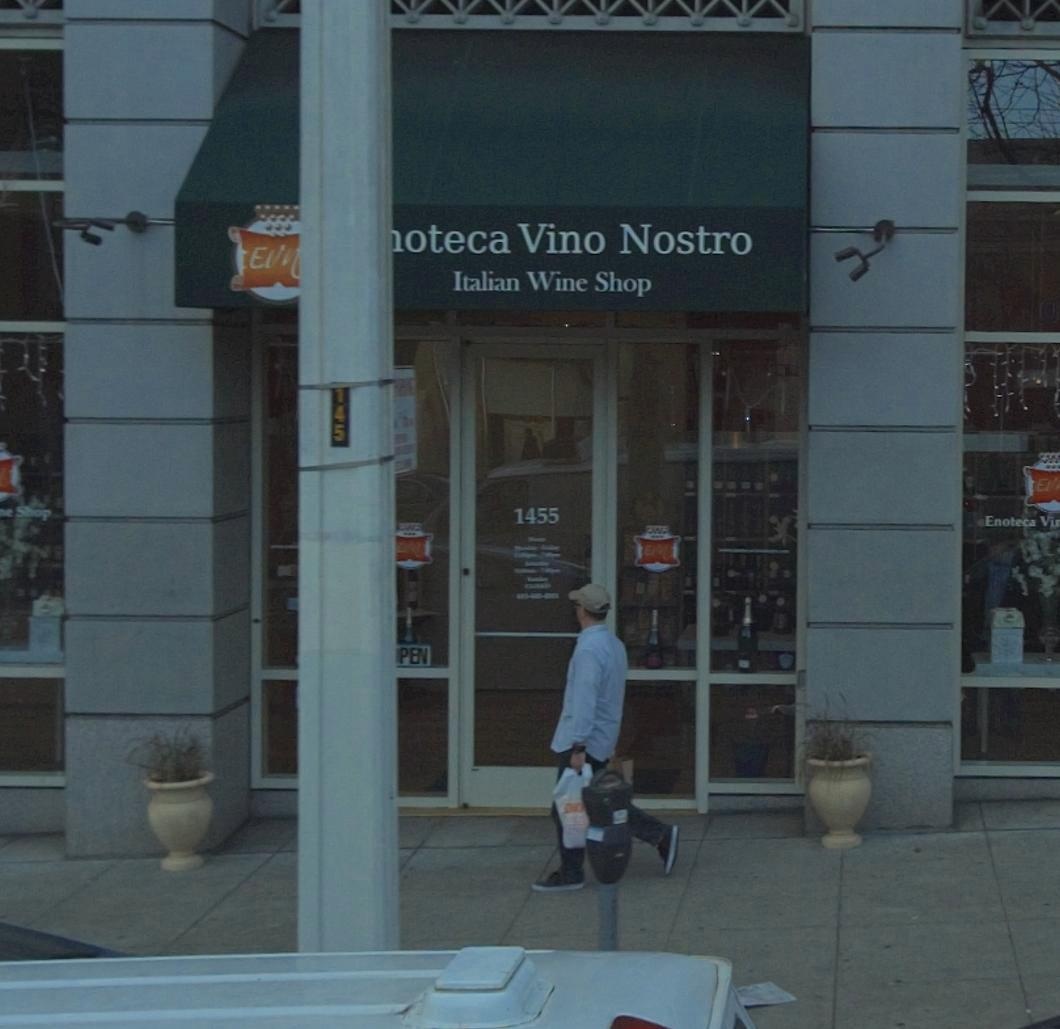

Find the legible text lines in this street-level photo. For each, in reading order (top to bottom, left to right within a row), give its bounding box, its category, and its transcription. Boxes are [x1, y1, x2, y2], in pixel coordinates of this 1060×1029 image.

[400, 218, 758, 259] BusinessName: oteca Vino Nostro
[246, 241, 291, 273] None: EV
[448, 266, 656, 302] None: Italian Wine Shop
[330, 384, 349, 445] None: 145
[1032, 474, 1060, 495] None: EV
[13, 502, 55, 524] None: Shop
[512, 505, 562, 527] StreetNumber: 1455
[981, 512, 1058, 530] BusinessName: Enoteca Vi
[396, 644, 430, 667] None: PEN